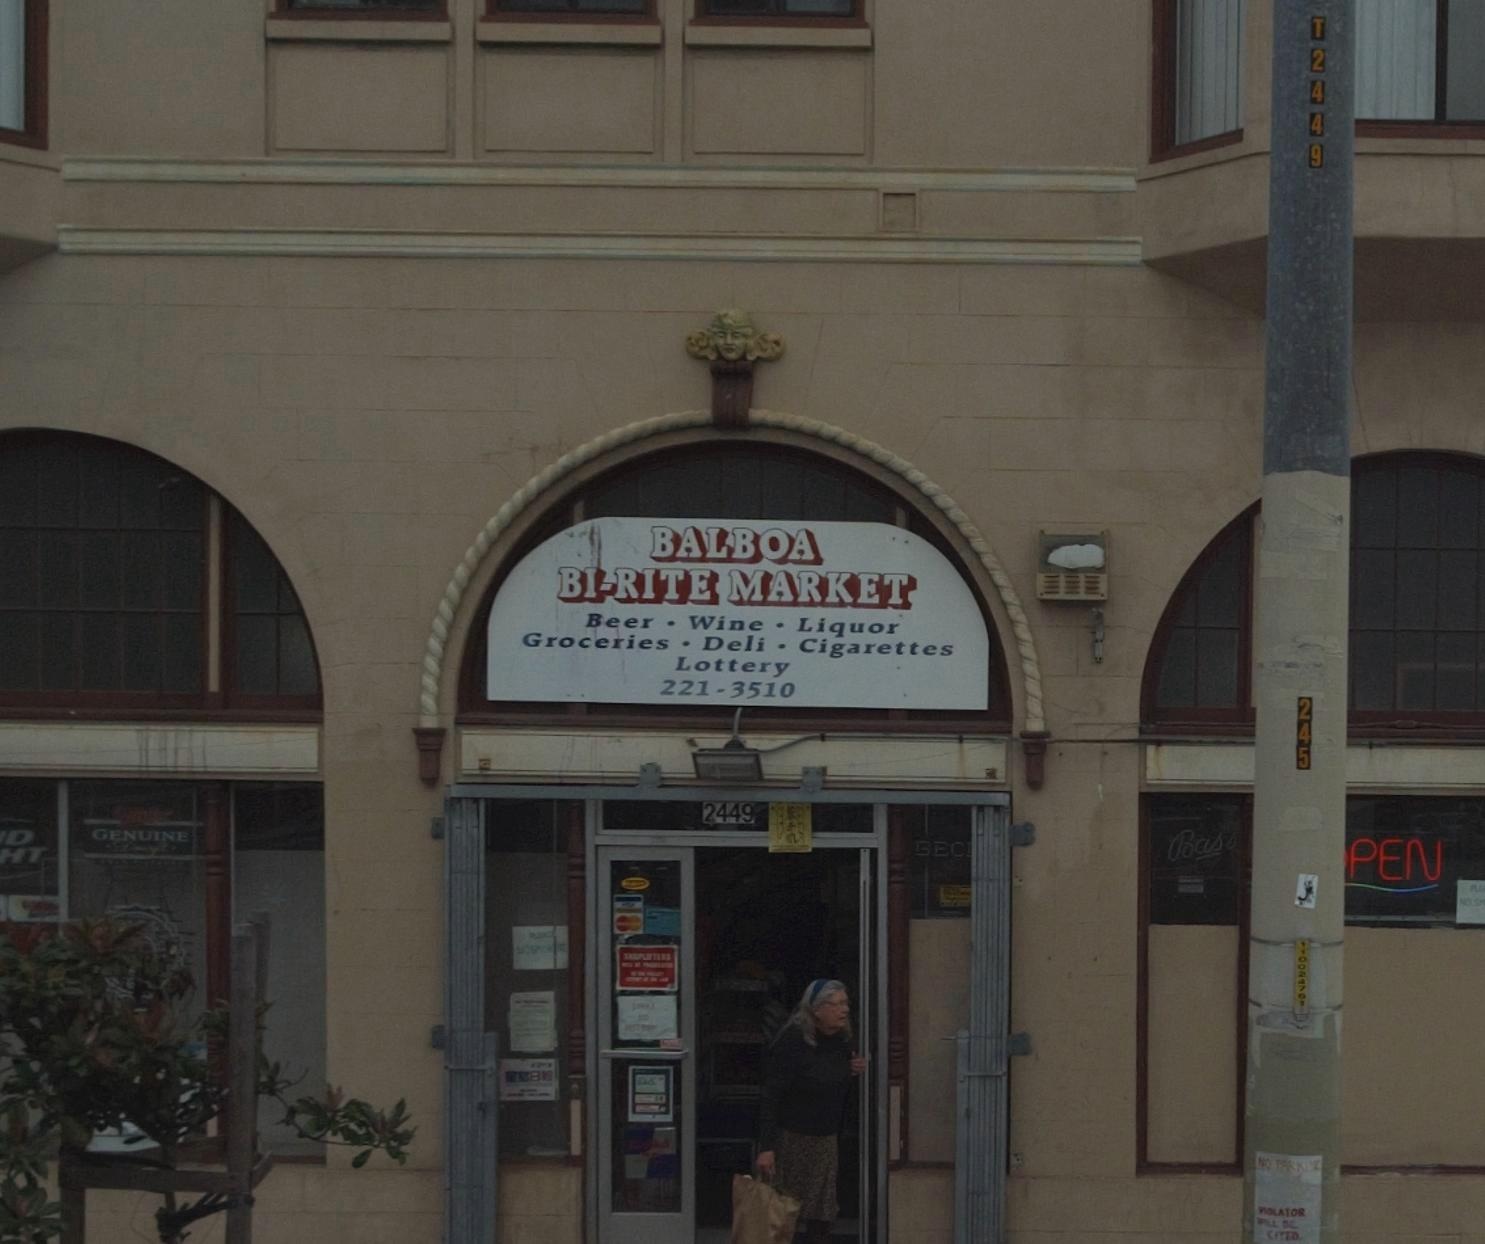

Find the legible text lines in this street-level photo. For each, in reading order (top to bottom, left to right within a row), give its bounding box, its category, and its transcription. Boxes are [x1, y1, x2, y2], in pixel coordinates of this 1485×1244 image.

[1308, 16, 1327, 170] None: T2449
[648, 523, 820, 562] BusinessName: BALBOA
[554, 566, 911, 606] BusinessName: BI-RITE MARKET
[581, 611, 903, 640] None: Beer * Wine * Liquor
[518, 629, 957, 660] None: Groceries * Deli * Cigarettes
[673, 654, 794, 680] None: Lottery
[657, 677, 798, 701] None: 221-3510
[1296, 696, 1312, 772] None: 245
[703, 801, 755, 824] StreetNumber: 2449
[1, 826, 38, 848] None: D
[23, 844, 51, 865] None: T
[90, 827, 190, 843] None: GENUINE
[913, 838, 966, 860] None: BEC
[1164, 826, 1226, 865] None: Bas
[1346, 835, 1444, 883] None: PEN
[1295, 939, 1309, 1009] None: 1100247*1
[1275, 1205, 1308, 1220] None: ATOR